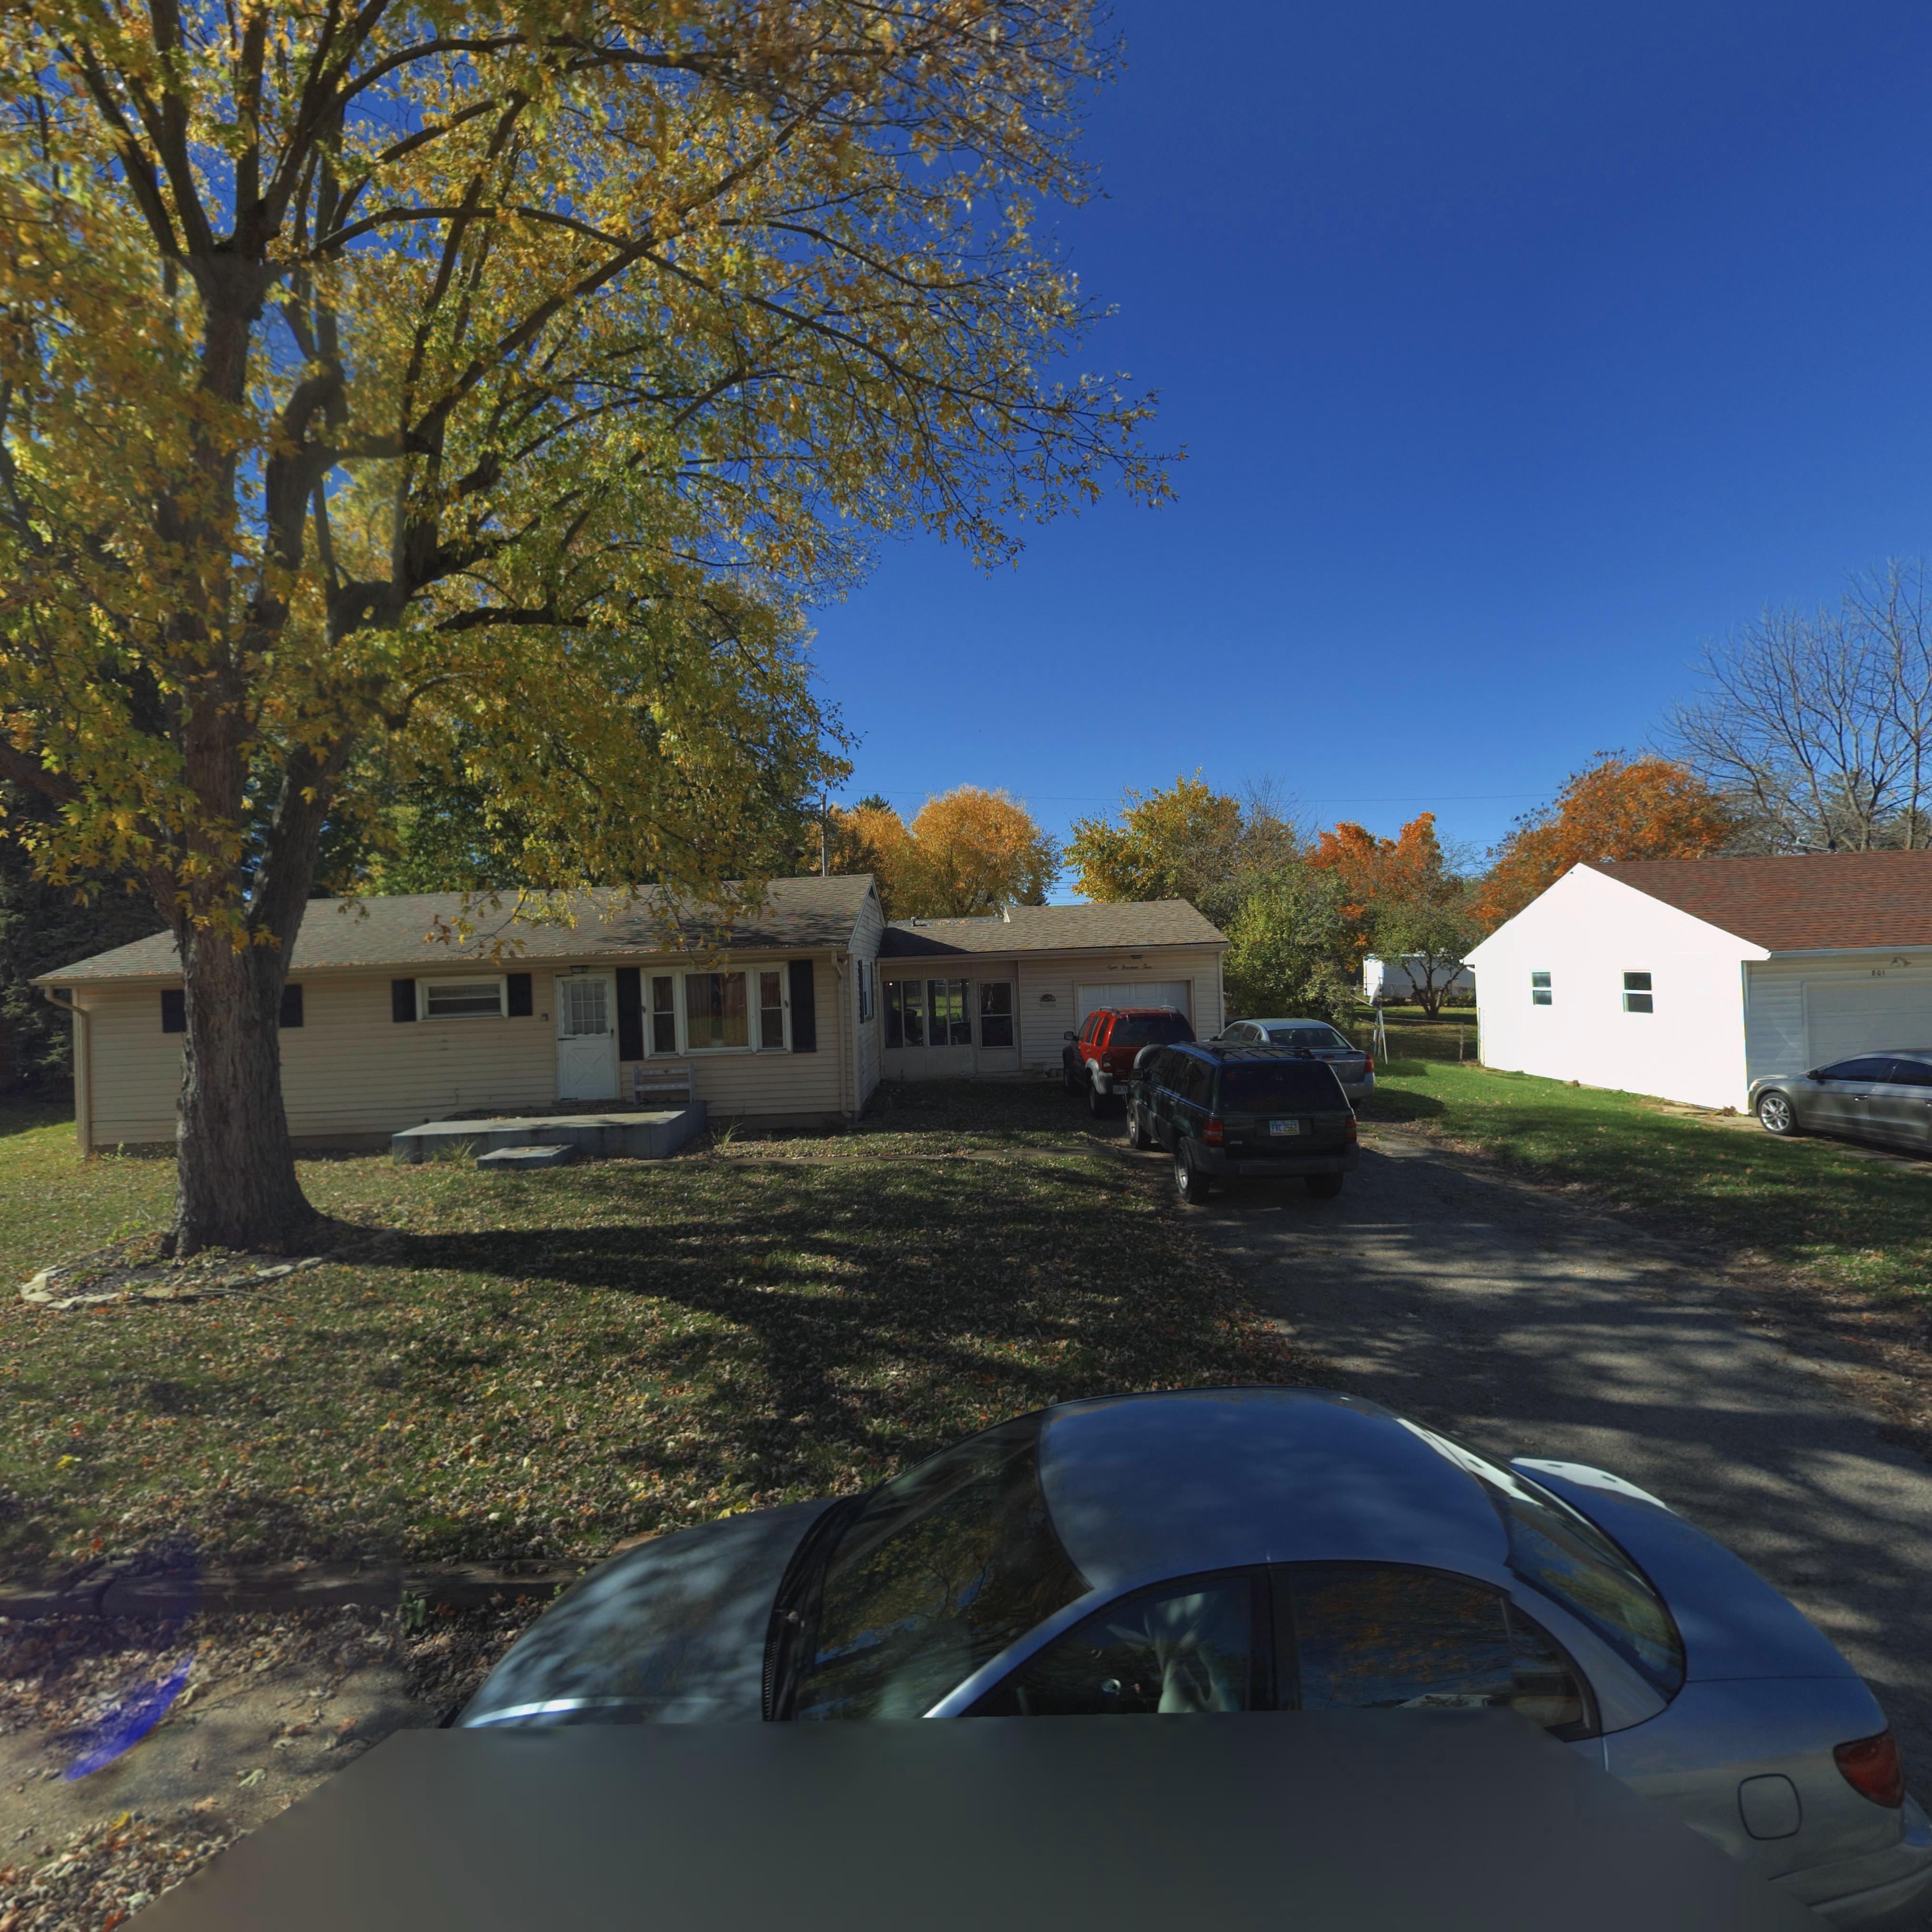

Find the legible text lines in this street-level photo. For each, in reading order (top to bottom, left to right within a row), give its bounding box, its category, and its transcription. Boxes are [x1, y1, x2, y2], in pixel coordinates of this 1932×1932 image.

[1107, 965, 1111, 970] StreetNumber: E
[1141, 963, 1148, 970] StreetNumber: F
[1871, 969, 1885, 977] StreetNumber: 801